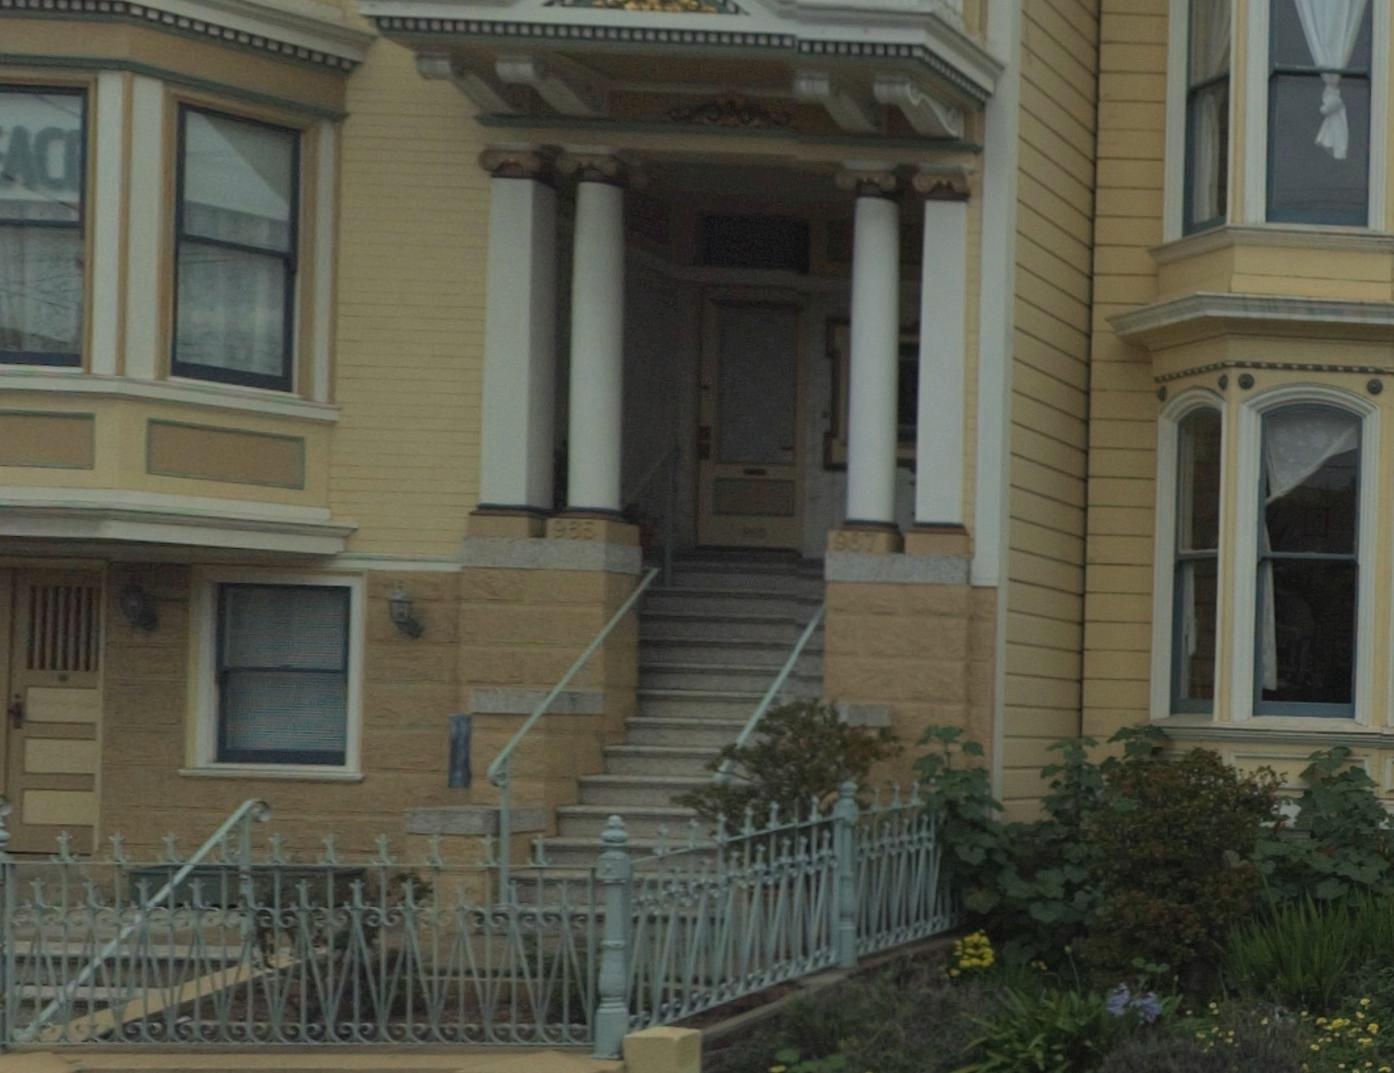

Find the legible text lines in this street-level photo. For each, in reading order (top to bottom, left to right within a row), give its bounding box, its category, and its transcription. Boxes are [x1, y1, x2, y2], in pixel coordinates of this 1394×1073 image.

[552, 519, 596, 541] StreetNumber: 965
[831, 530, 879, 553] StreetNumber: 967